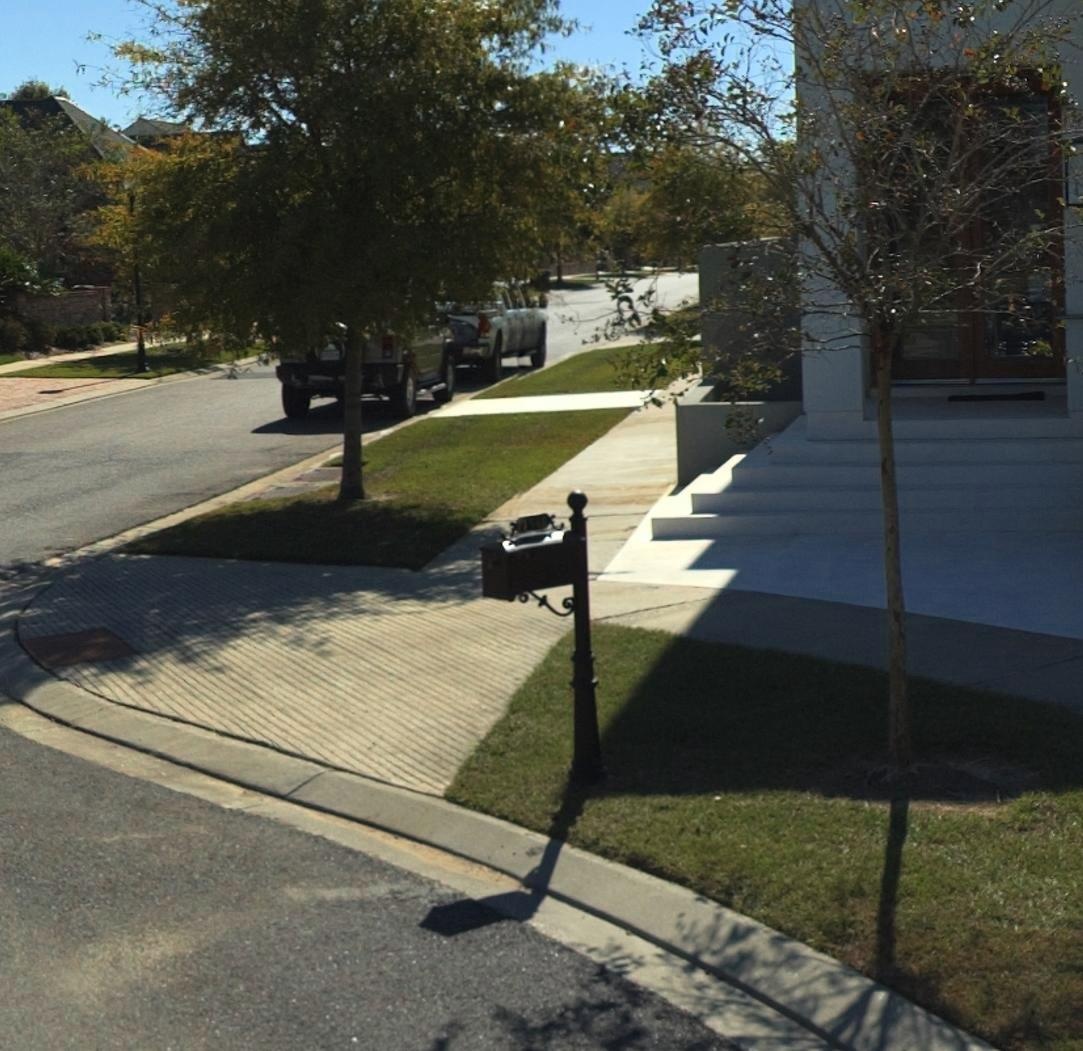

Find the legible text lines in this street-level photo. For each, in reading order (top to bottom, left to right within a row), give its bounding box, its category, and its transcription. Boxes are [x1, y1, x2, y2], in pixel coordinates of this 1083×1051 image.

[521, 516, 547, 532] StreetNumber: 11548